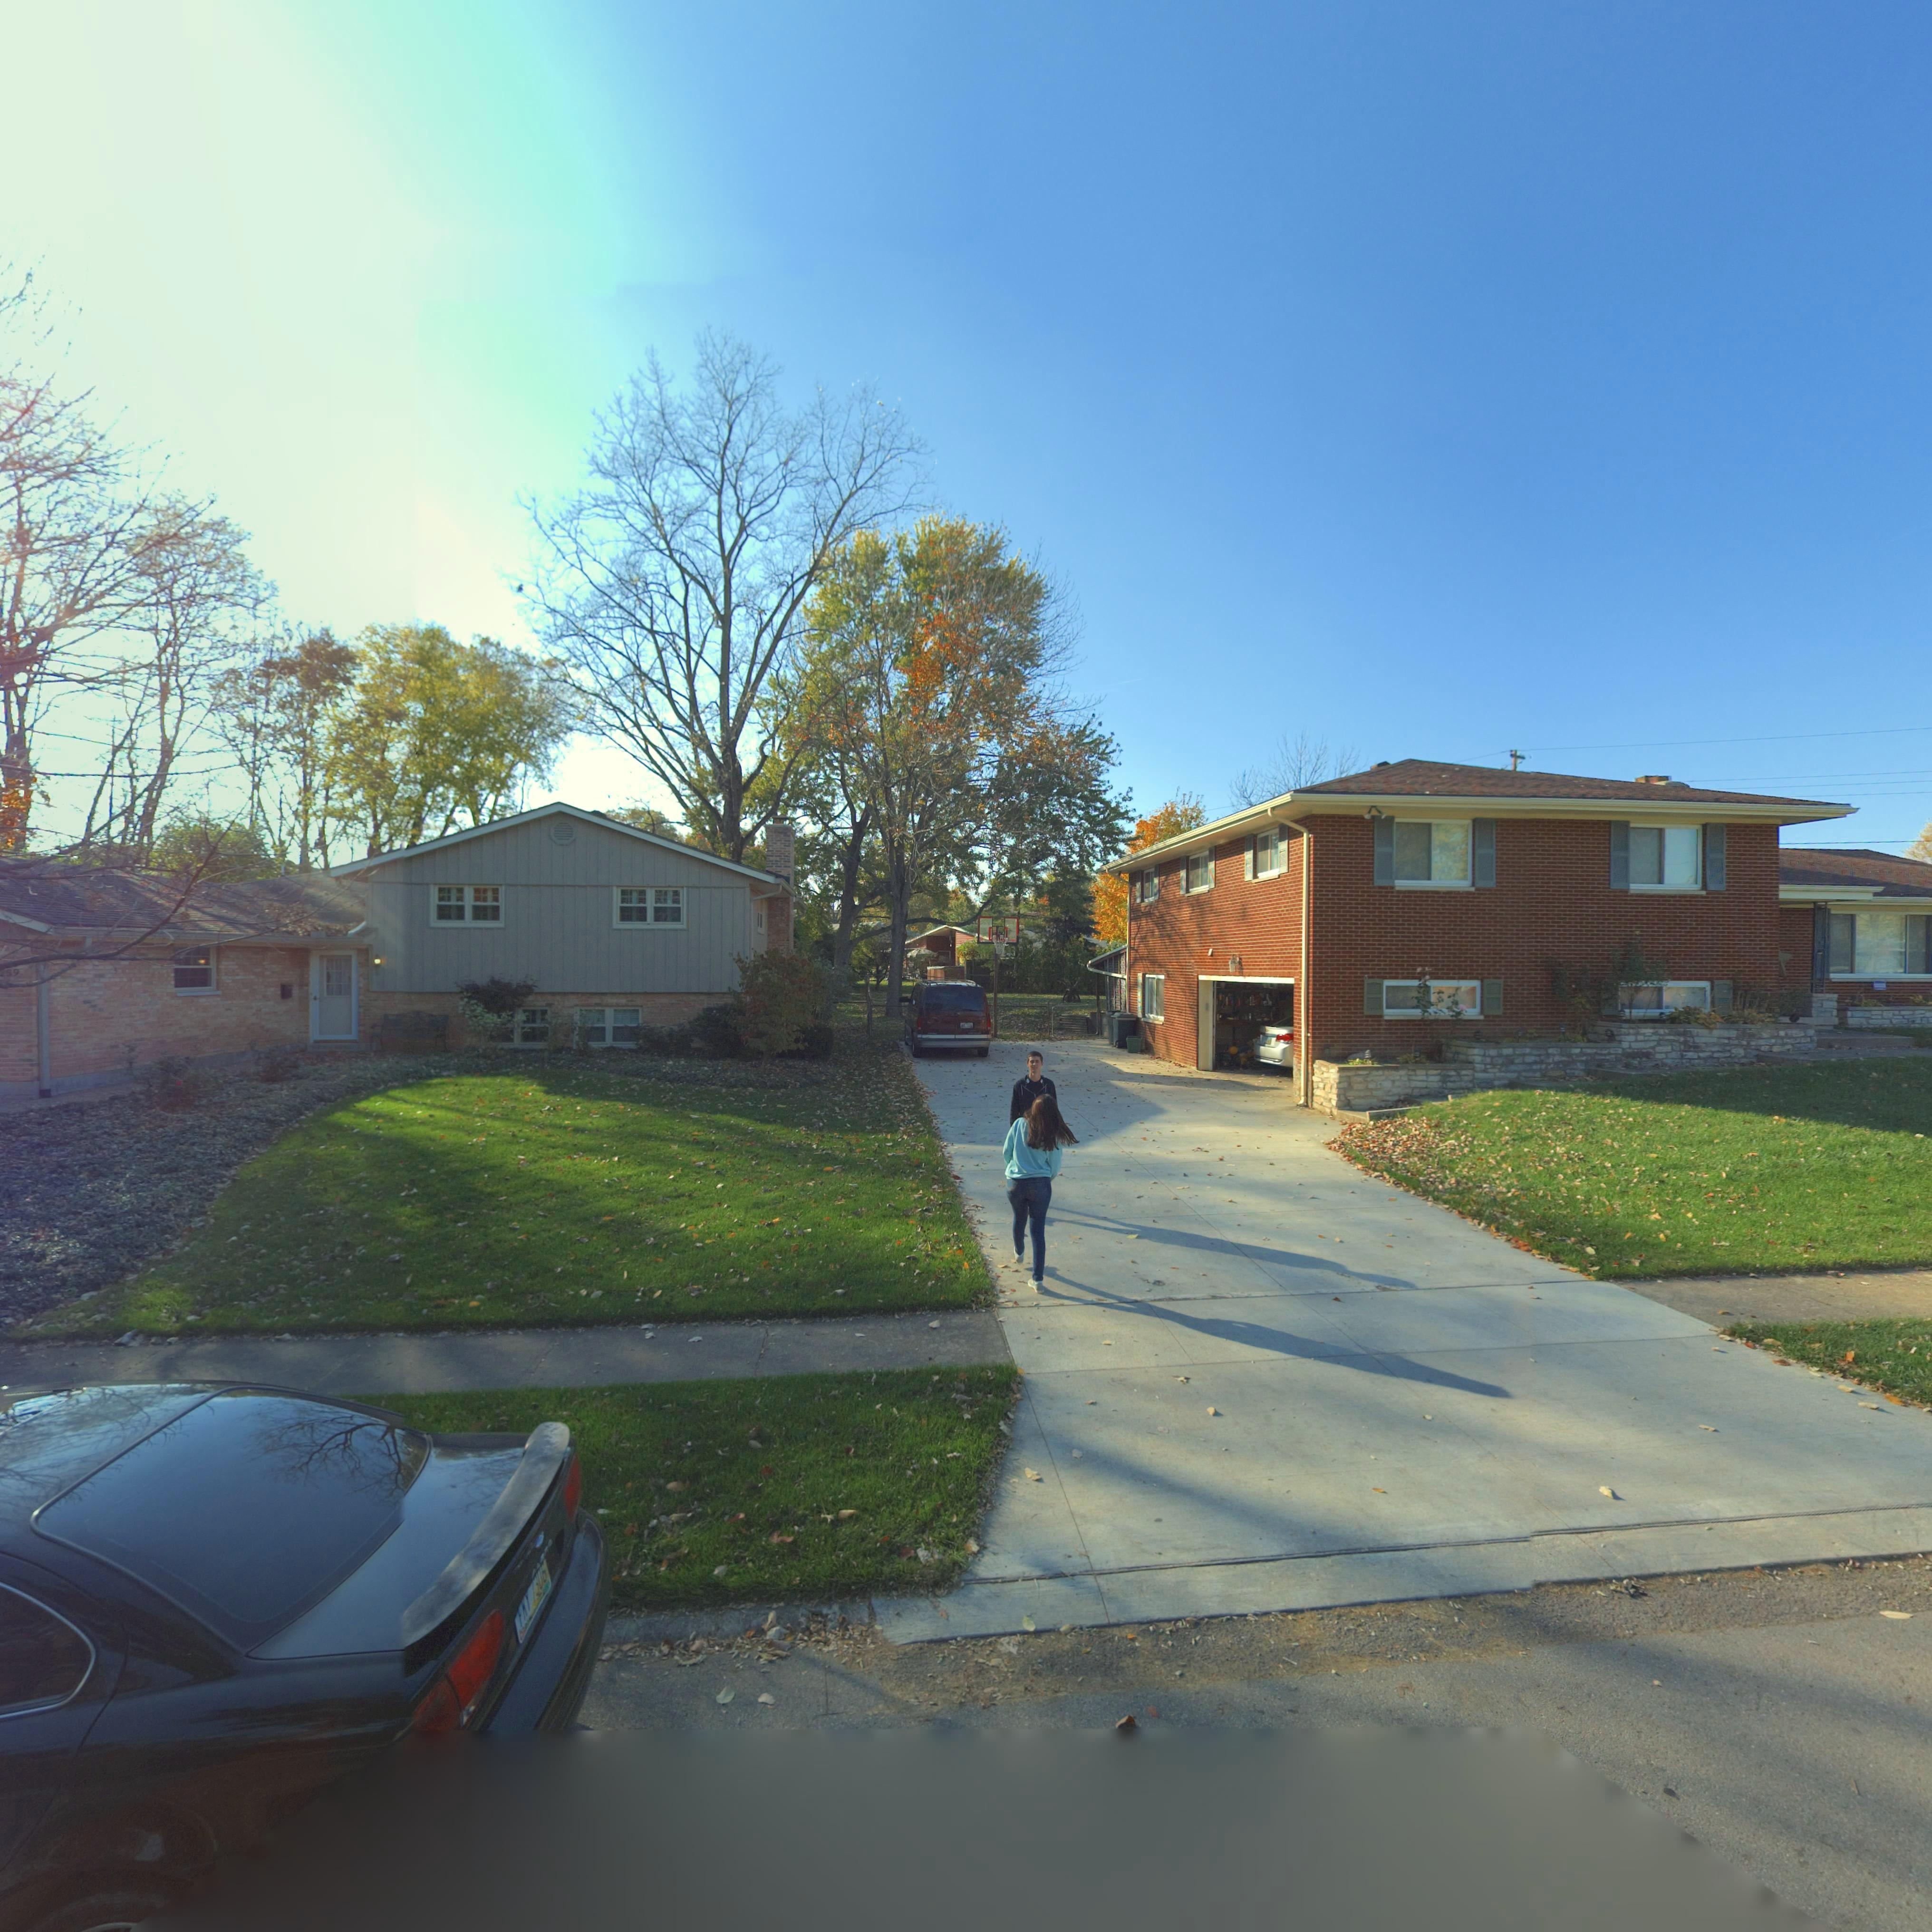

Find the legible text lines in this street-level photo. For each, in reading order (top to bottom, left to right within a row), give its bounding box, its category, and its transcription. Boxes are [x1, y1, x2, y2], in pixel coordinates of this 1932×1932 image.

[5, 968, 20, 977] StreetNumber: 59